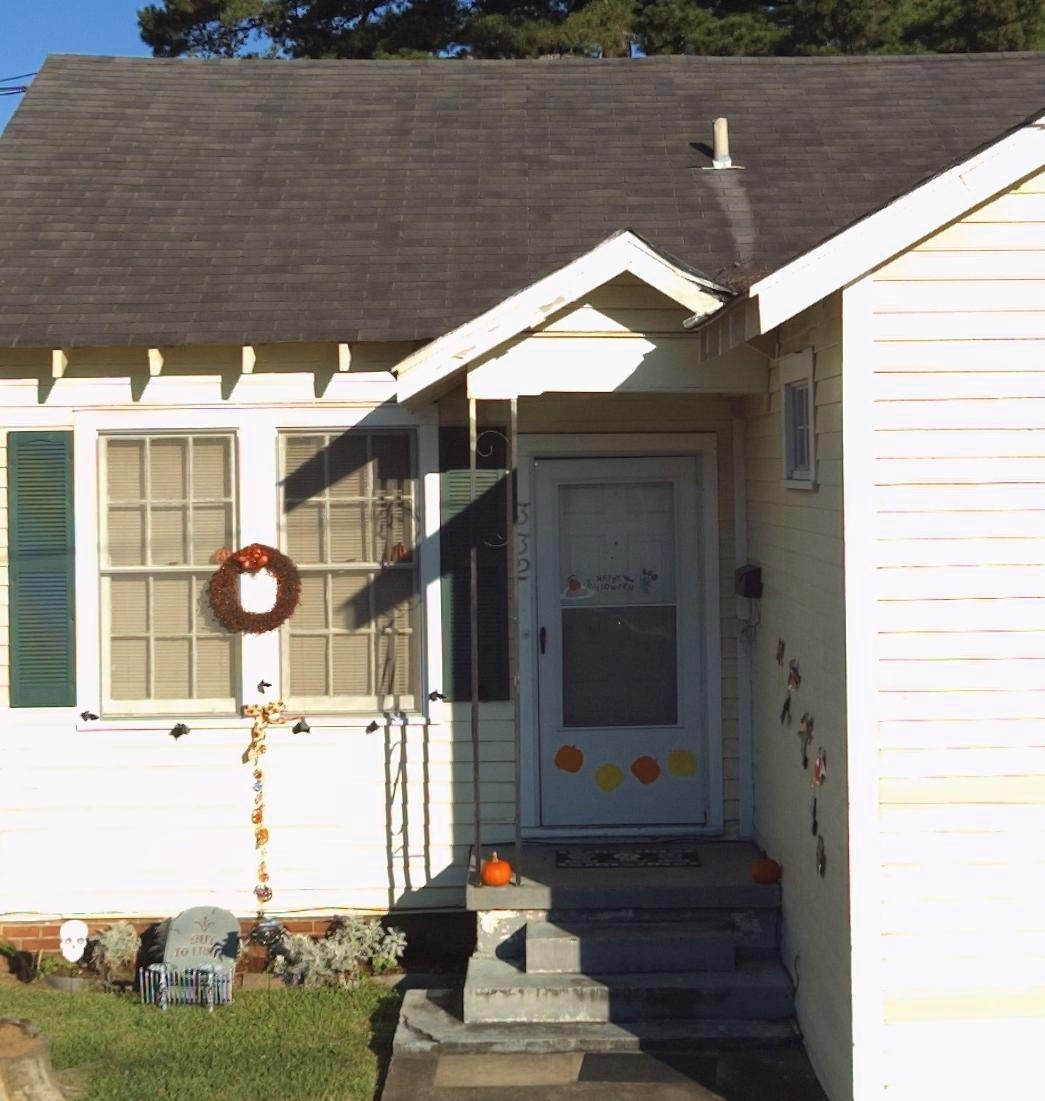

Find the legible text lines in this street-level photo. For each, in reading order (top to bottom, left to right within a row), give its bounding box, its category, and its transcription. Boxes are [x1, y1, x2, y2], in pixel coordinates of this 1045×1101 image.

[514, 500, 533, 583] StreetNumber: 332